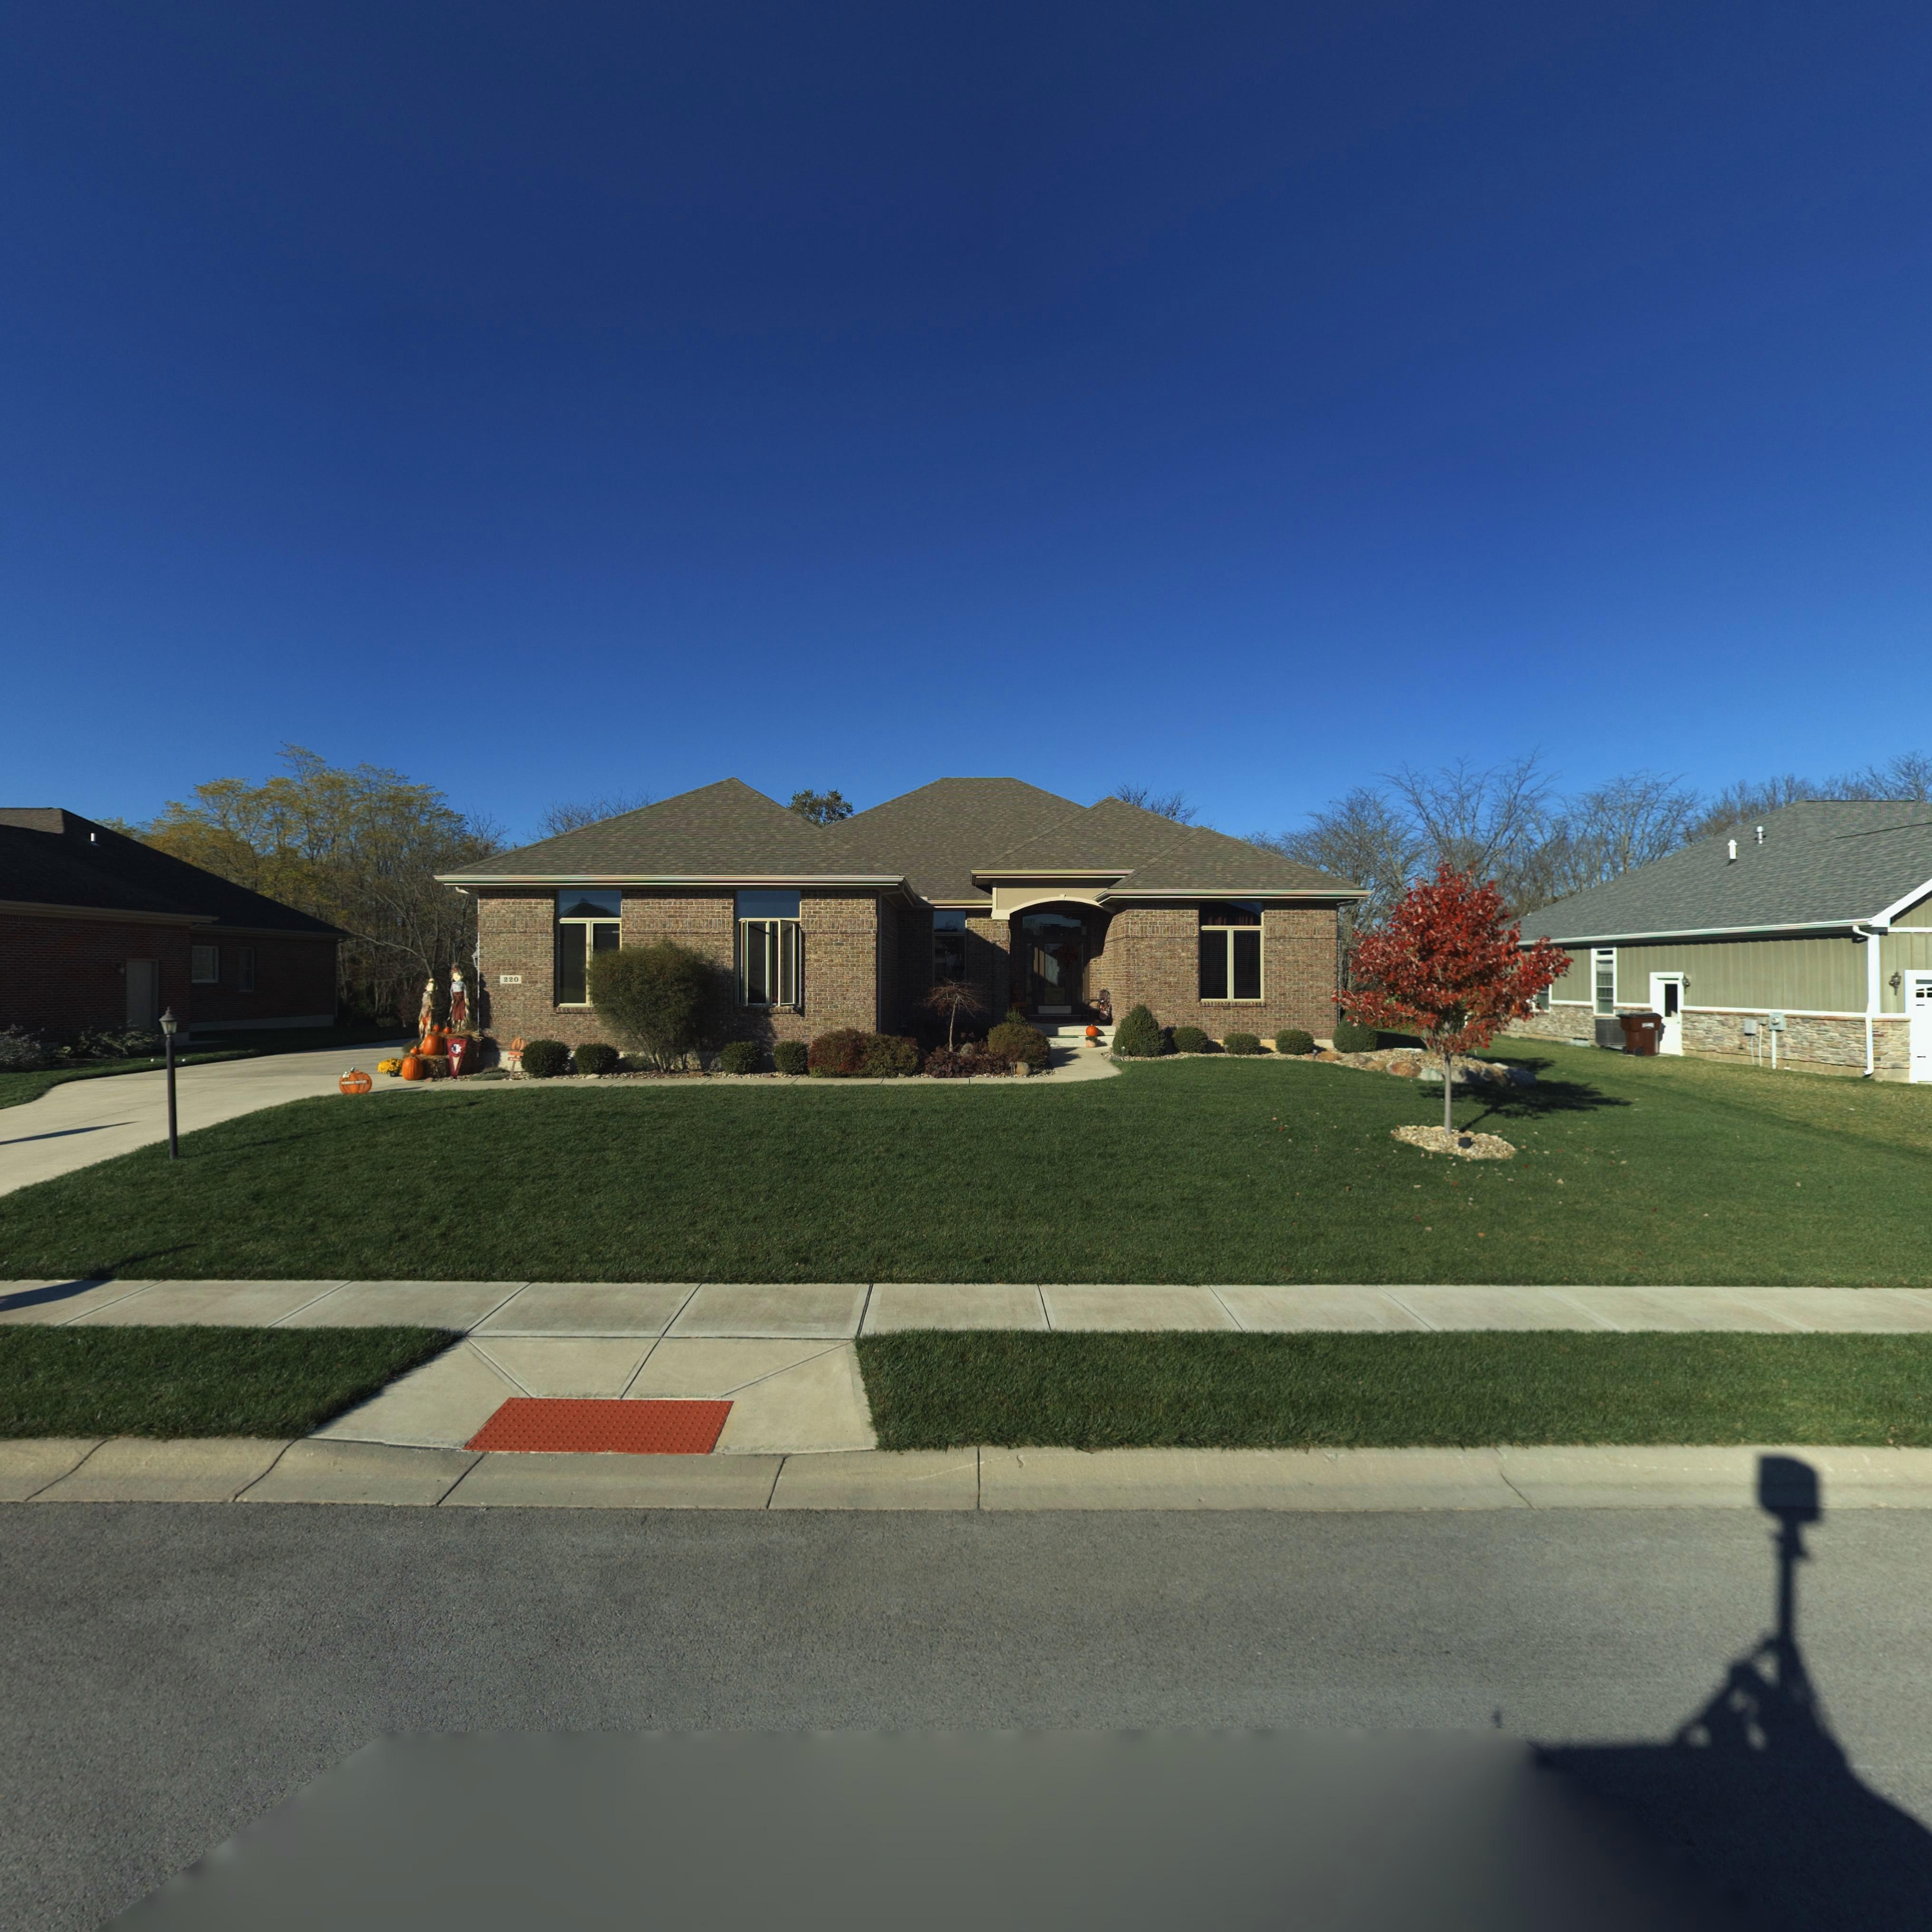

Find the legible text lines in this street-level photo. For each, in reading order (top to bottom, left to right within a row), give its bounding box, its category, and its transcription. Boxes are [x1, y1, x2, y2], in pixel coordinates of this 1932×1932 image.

[502, 976, 520, 983] StreetNumber: 220